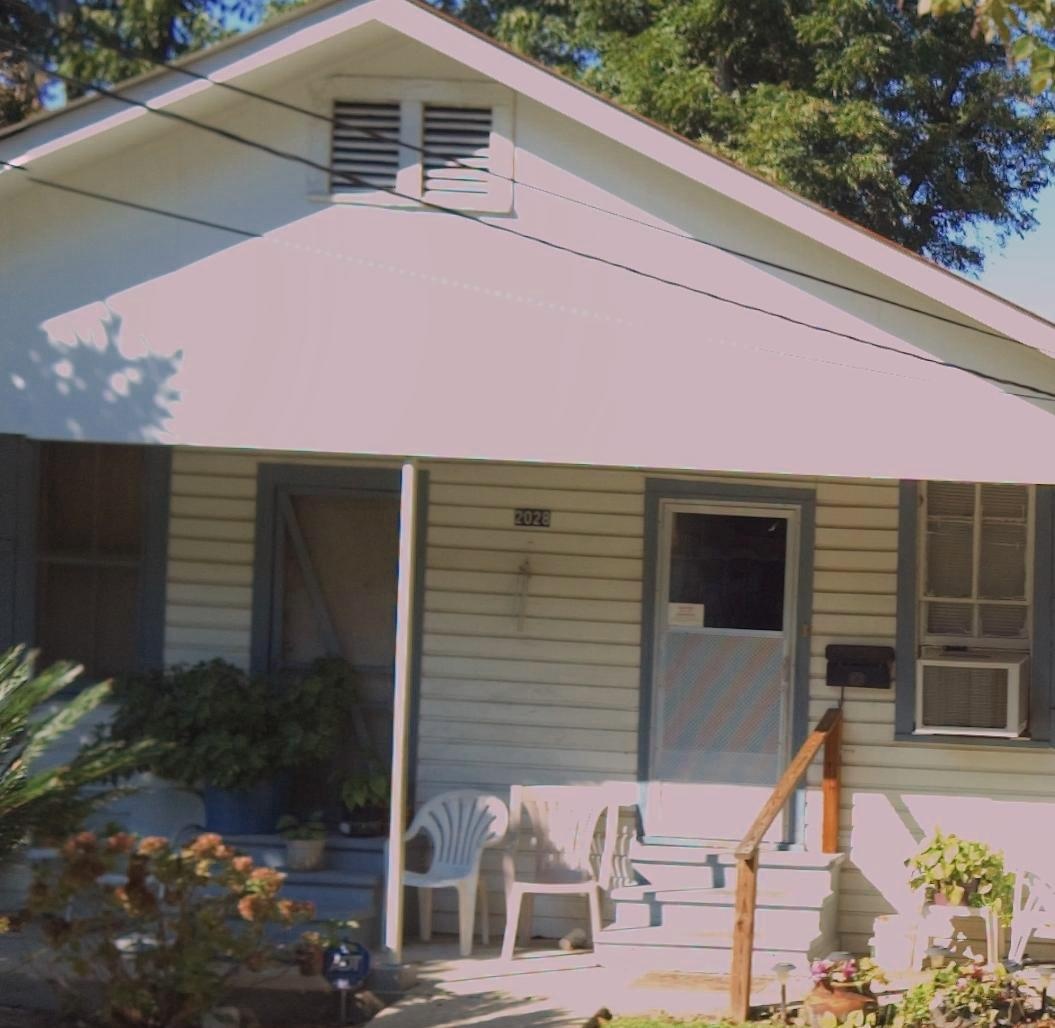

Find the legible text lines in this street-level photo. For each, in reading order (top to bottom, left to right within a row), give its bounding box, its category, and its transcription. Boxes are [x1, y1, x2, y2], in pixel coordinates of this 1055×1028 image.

[513, 509, 552, 528] StreetNumber: 2028
[349, 954, 365, 974] None: T